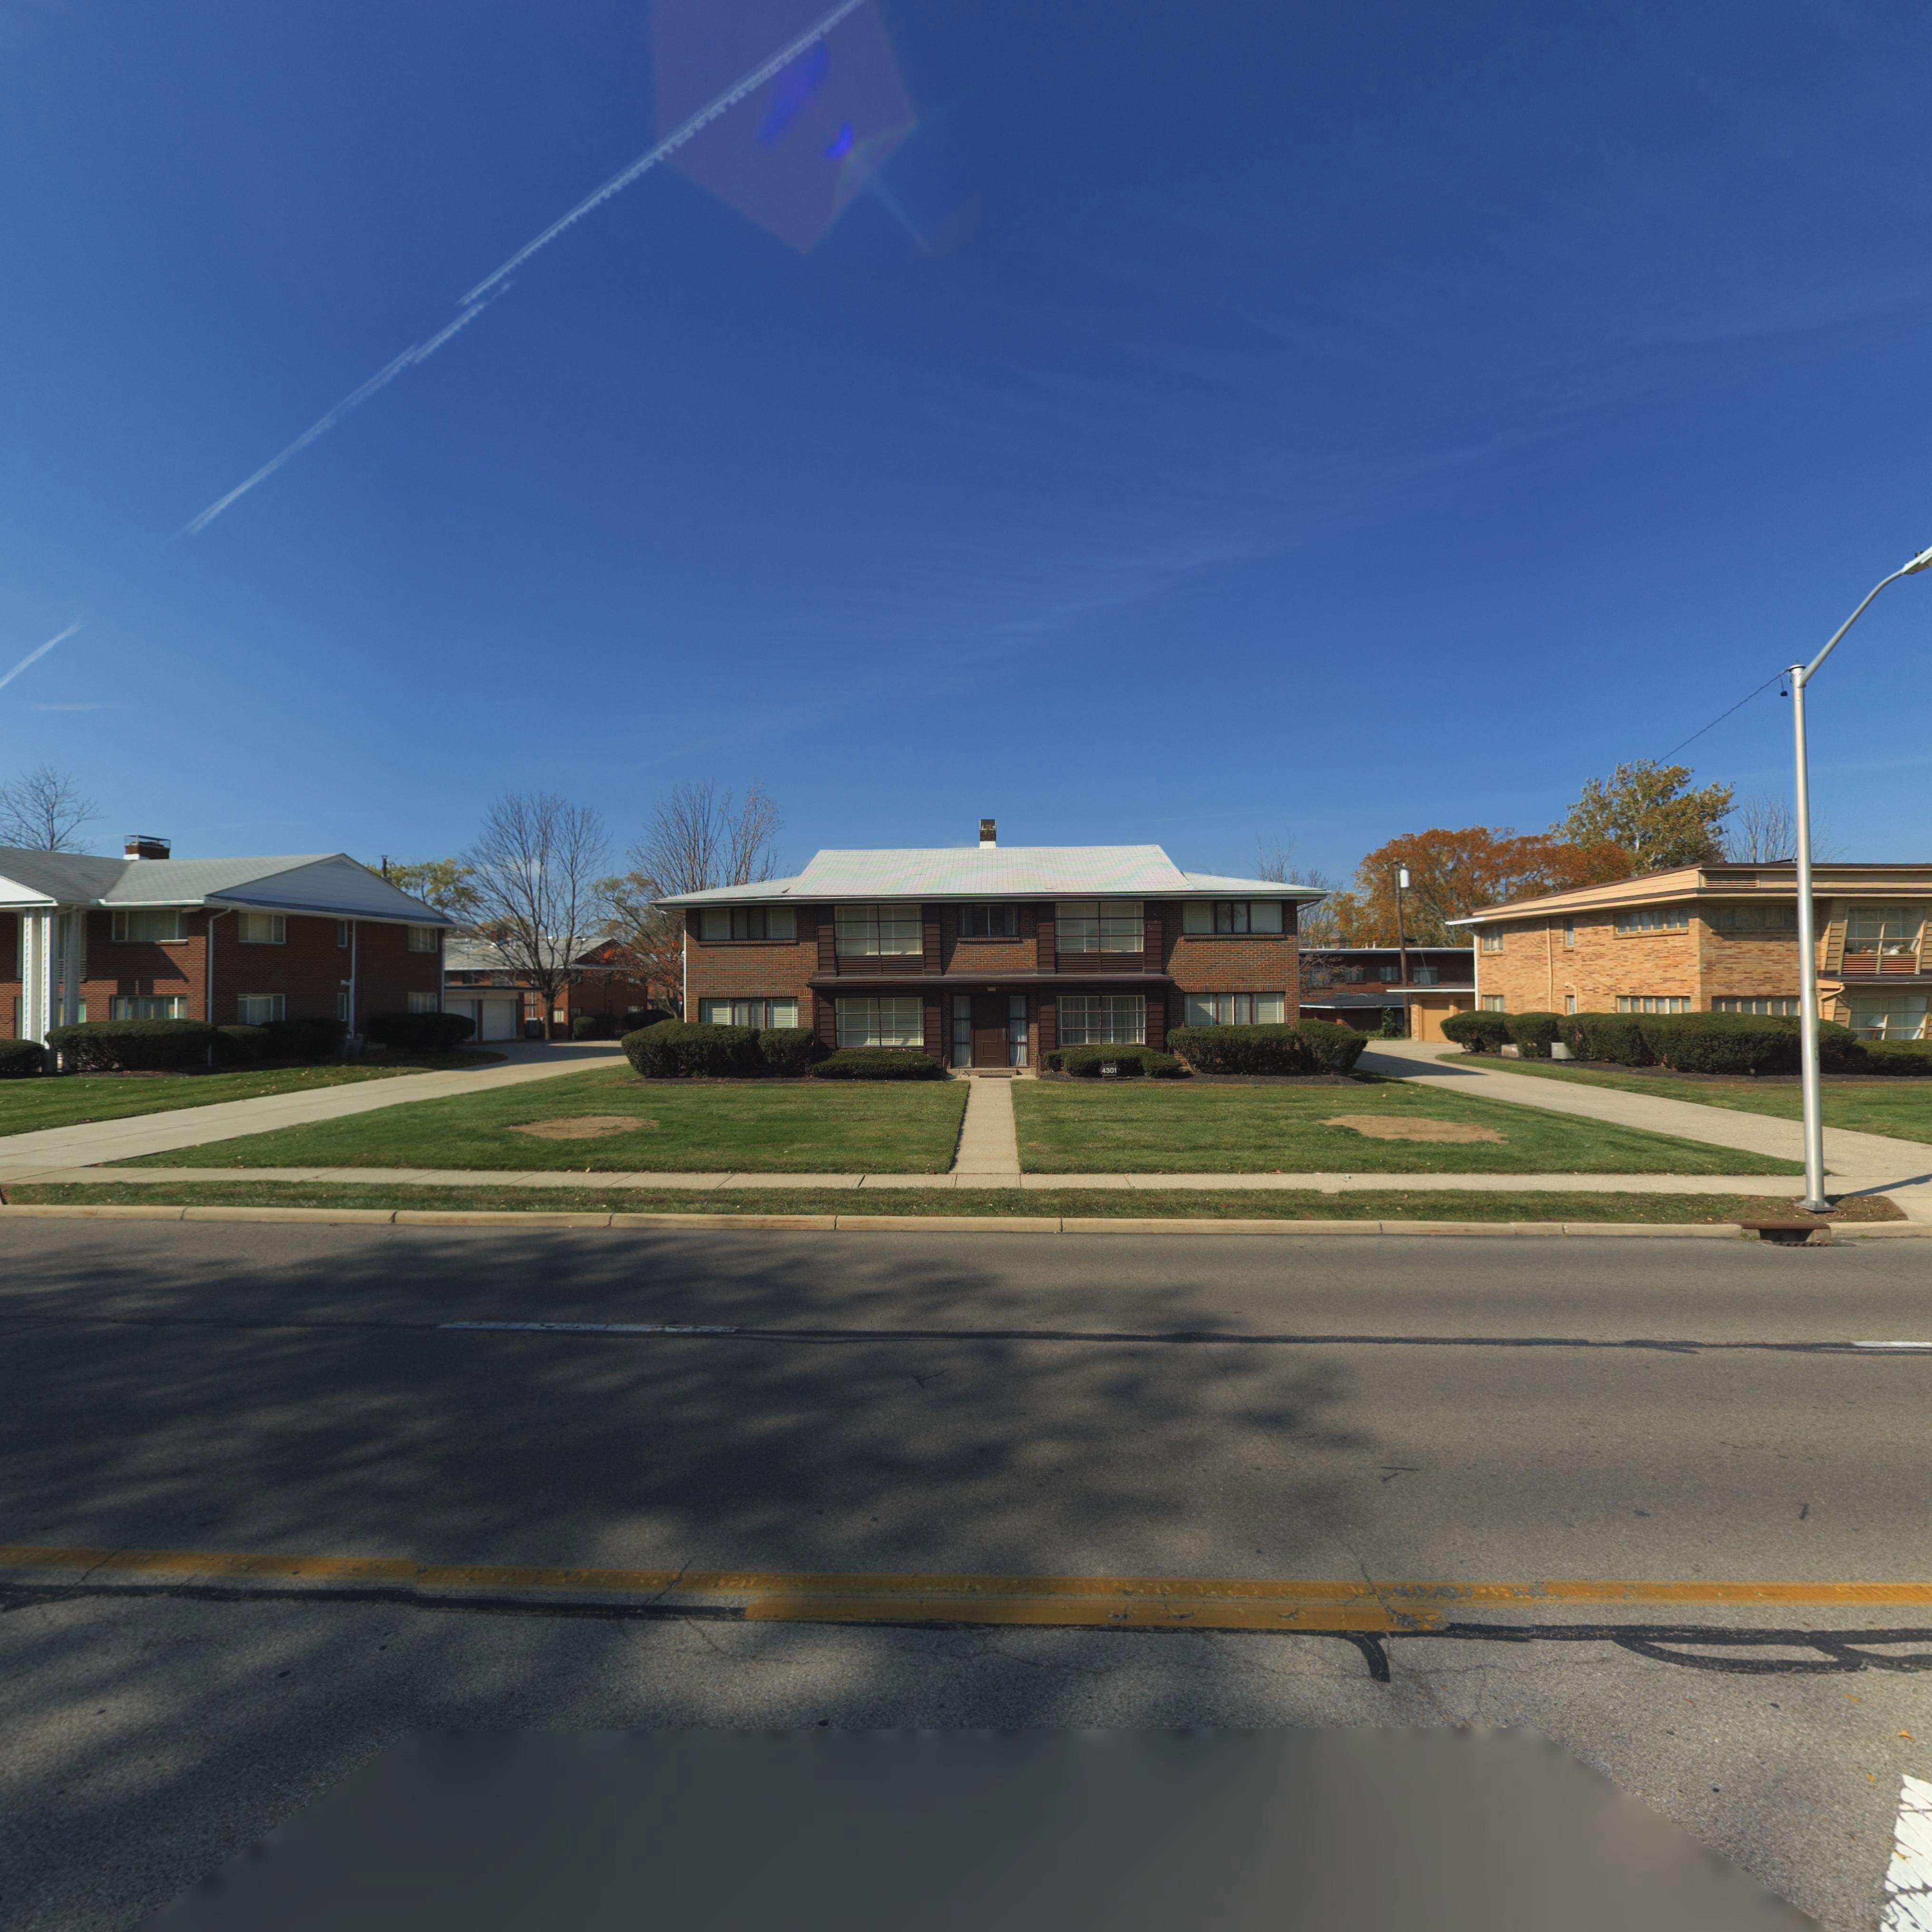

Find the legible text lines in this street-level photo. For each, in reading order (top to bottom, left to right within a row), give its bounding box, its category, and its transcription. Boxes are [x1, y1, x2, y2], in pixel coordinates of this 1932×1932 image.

[1101, 1066, 1118, 1075] StreetNumber: 4301